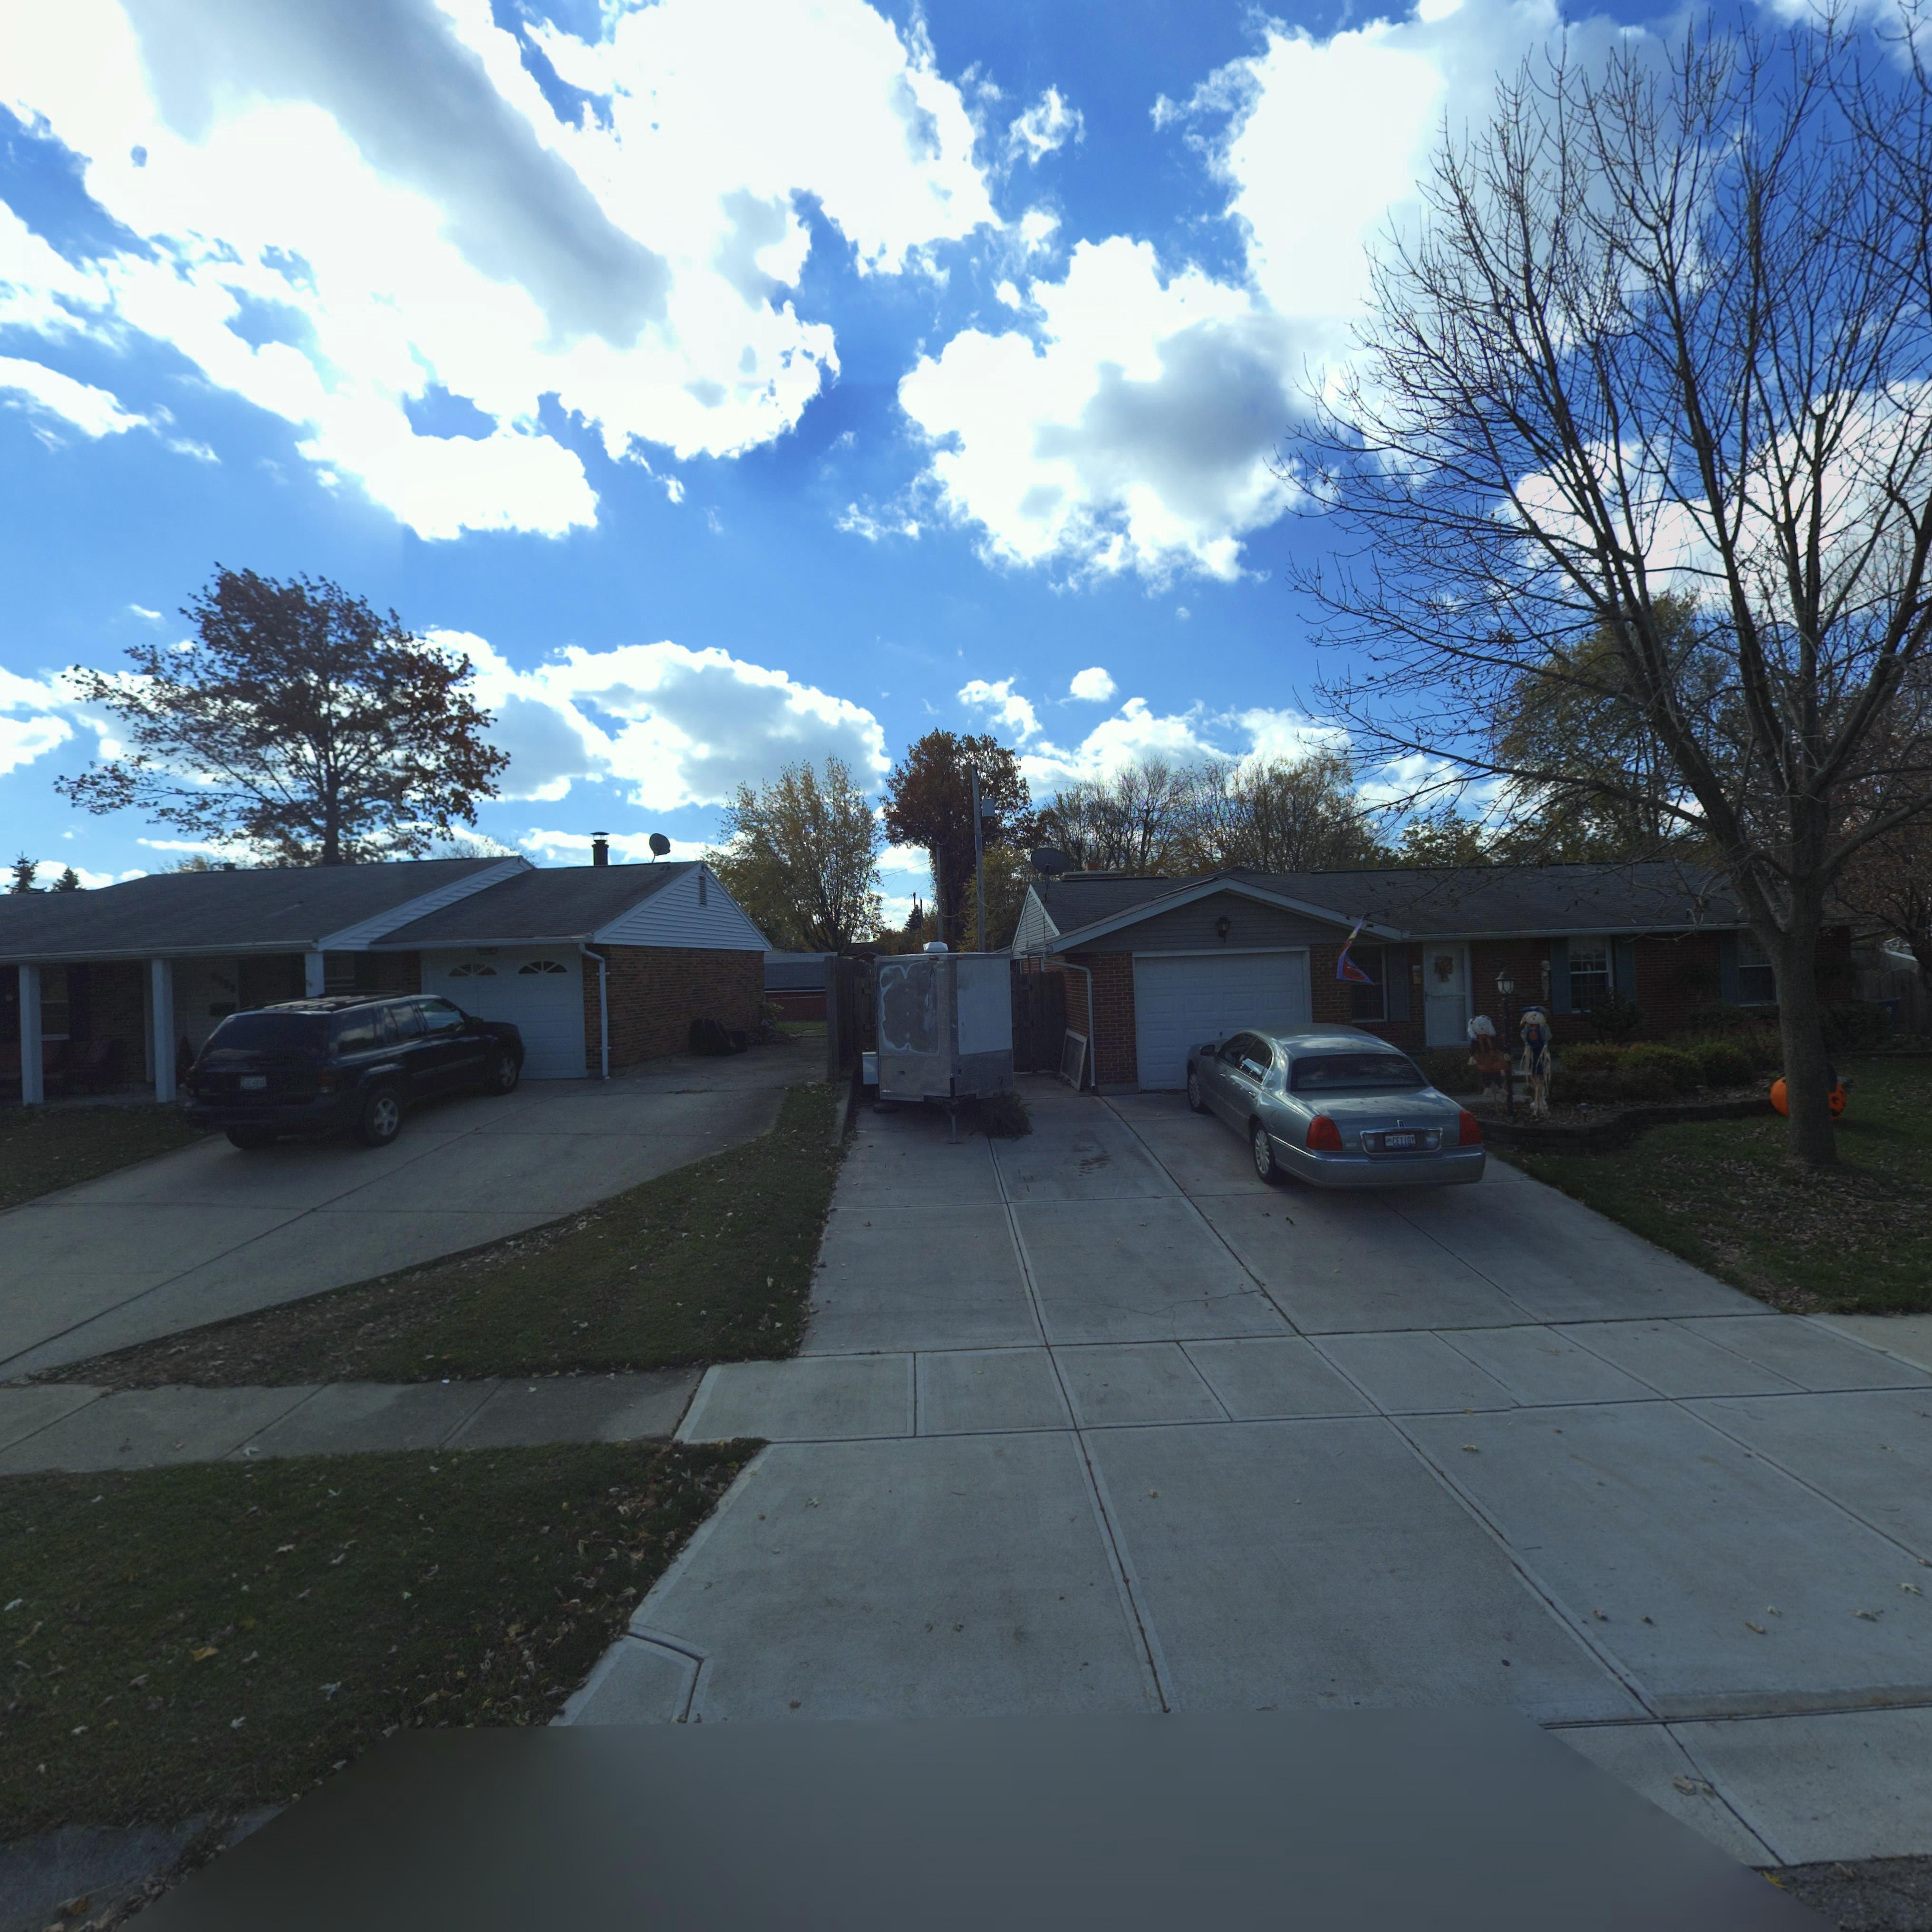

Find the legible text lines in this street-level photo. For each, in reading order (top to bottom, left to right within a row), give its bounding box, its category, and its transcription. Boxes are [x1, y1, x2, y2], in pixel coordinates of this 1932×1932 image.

[1496, 961, 1500, 969] StreetNumber: 9
[209, 971, 236, 995] StreetNumber: *7**